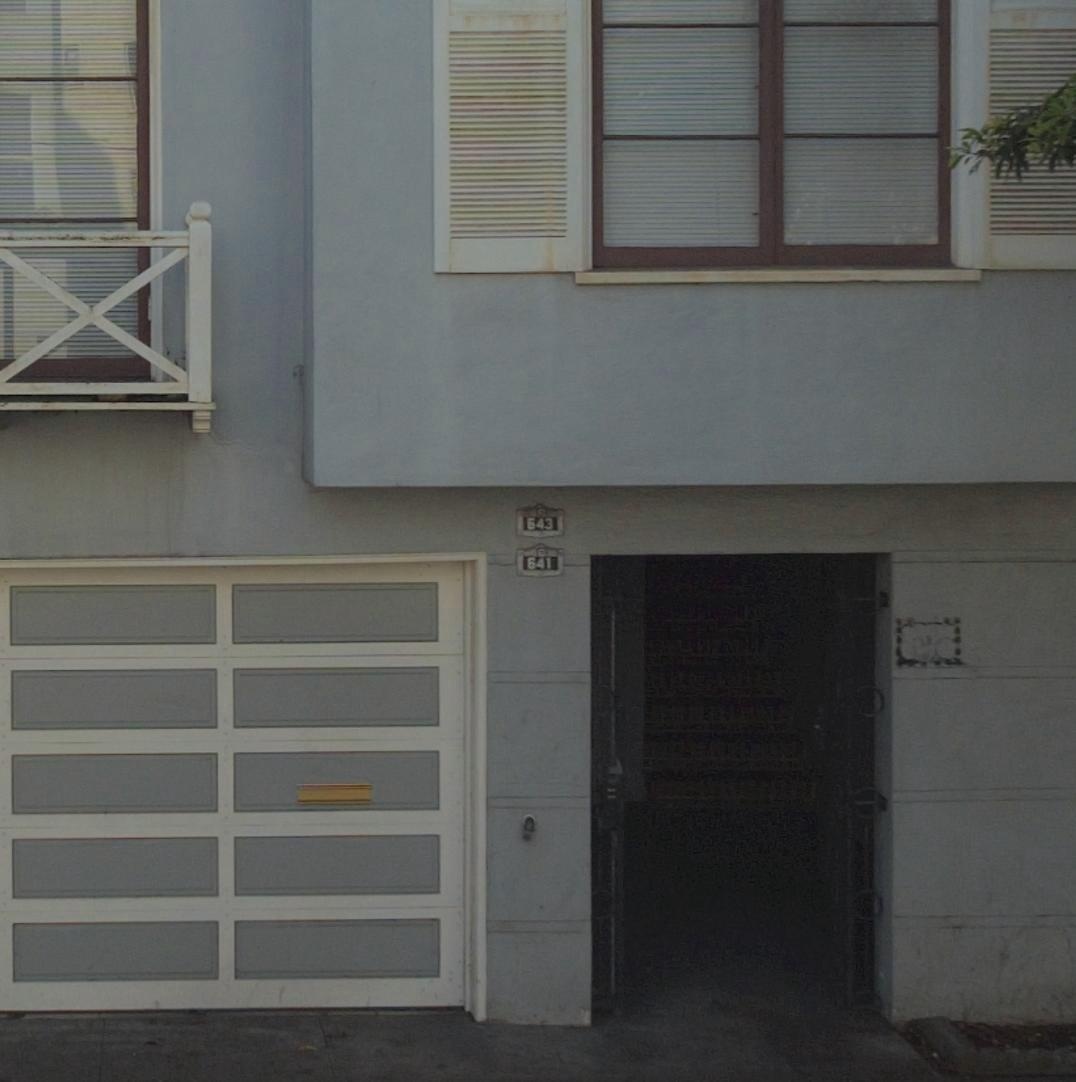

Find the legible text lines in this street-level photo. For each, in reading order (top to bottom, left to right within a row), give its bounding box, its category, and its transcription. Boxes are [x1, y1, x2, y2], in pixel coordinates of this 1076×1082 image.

[525, 515, 555, 532] StreetNumber: 643
[525, 555, 554, 571] StreetNumber: 641